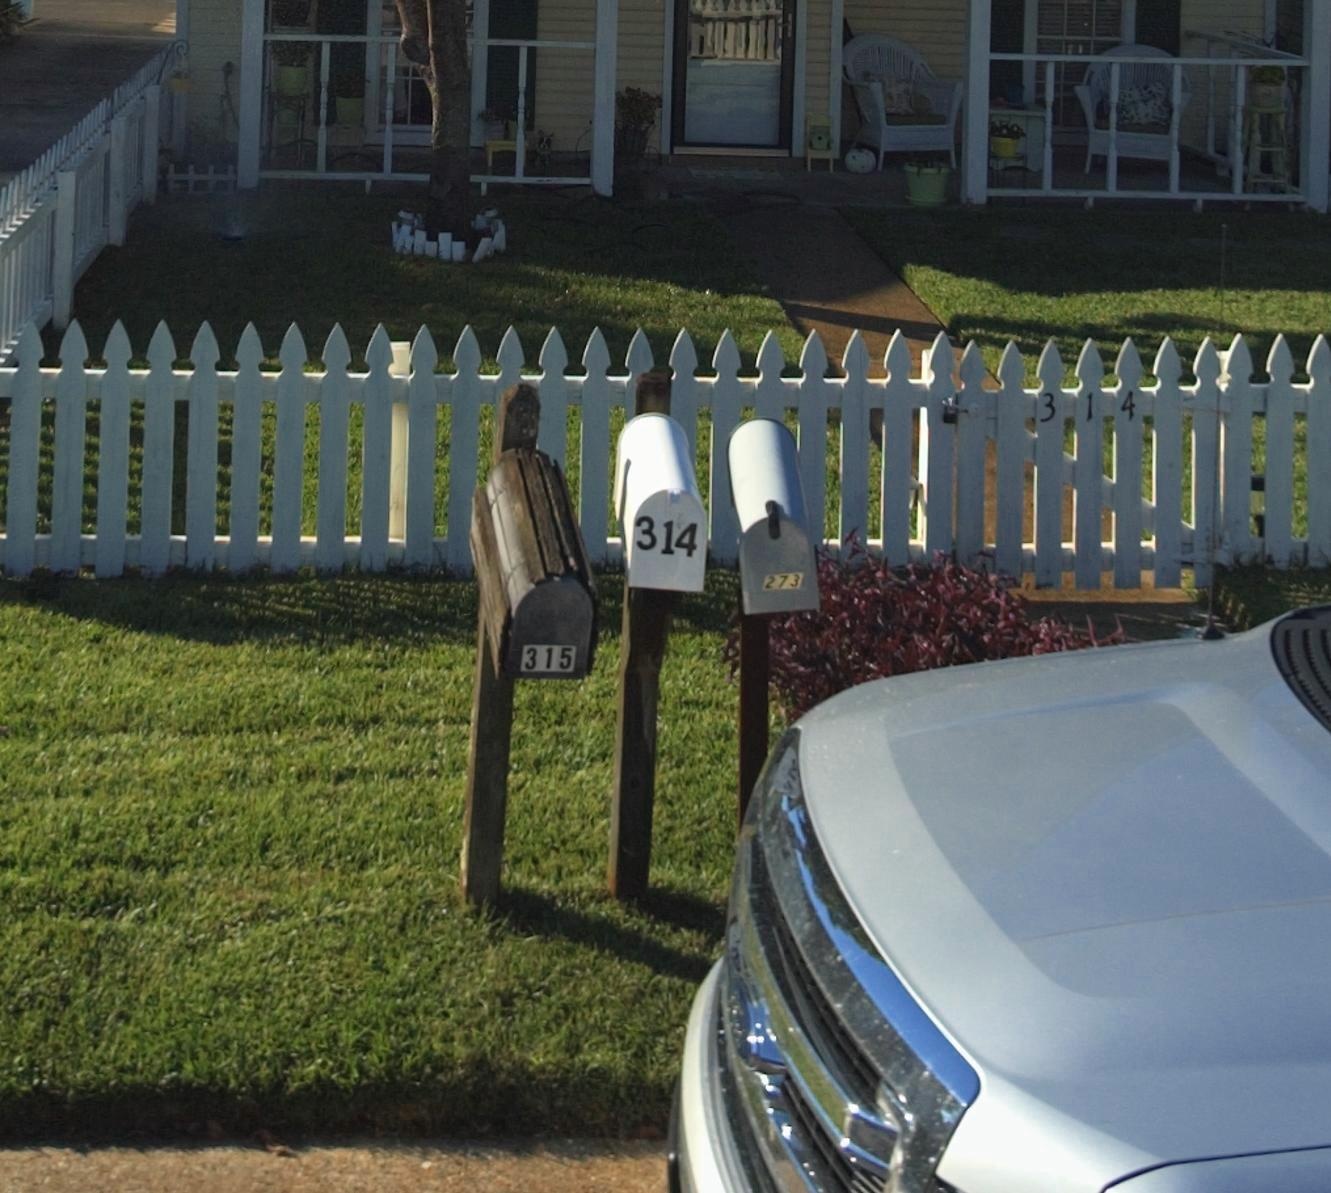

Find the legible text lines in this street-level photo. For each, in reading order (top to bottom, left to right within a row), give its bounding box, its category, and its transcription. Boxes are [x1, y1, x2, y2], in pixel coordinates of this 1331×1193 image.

[635, 514, 703, 558] StreetNumber: 314
[764, 573, 801, 590] StreetNumber: 273
[524, 646, 574, 670] StreetNumber: 315